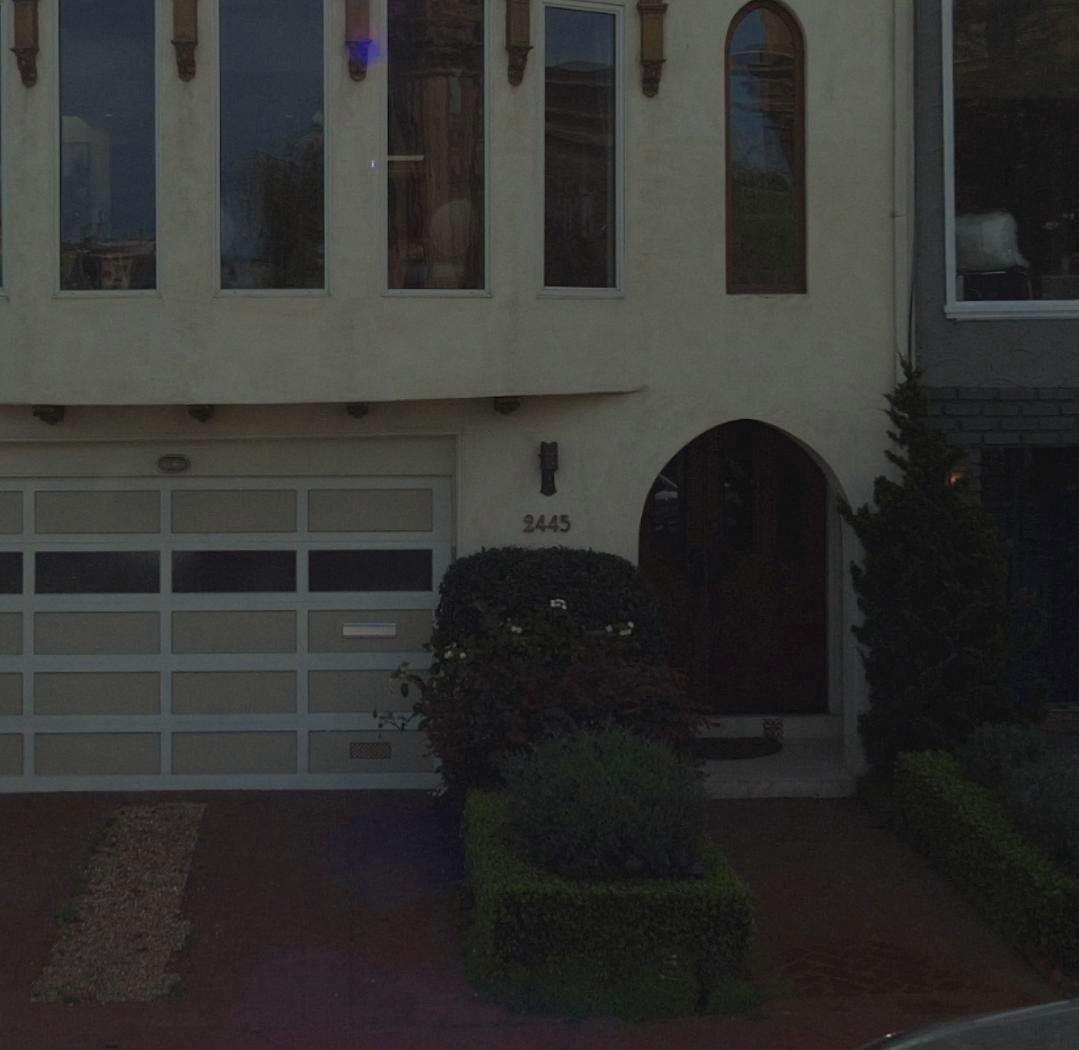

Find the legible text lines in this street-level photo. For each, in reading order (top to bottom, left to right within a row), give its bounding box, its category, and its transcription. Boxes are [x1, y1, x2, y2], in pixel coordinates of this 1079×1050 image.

[518, 512, 574, 536] StreetNumber: 2445